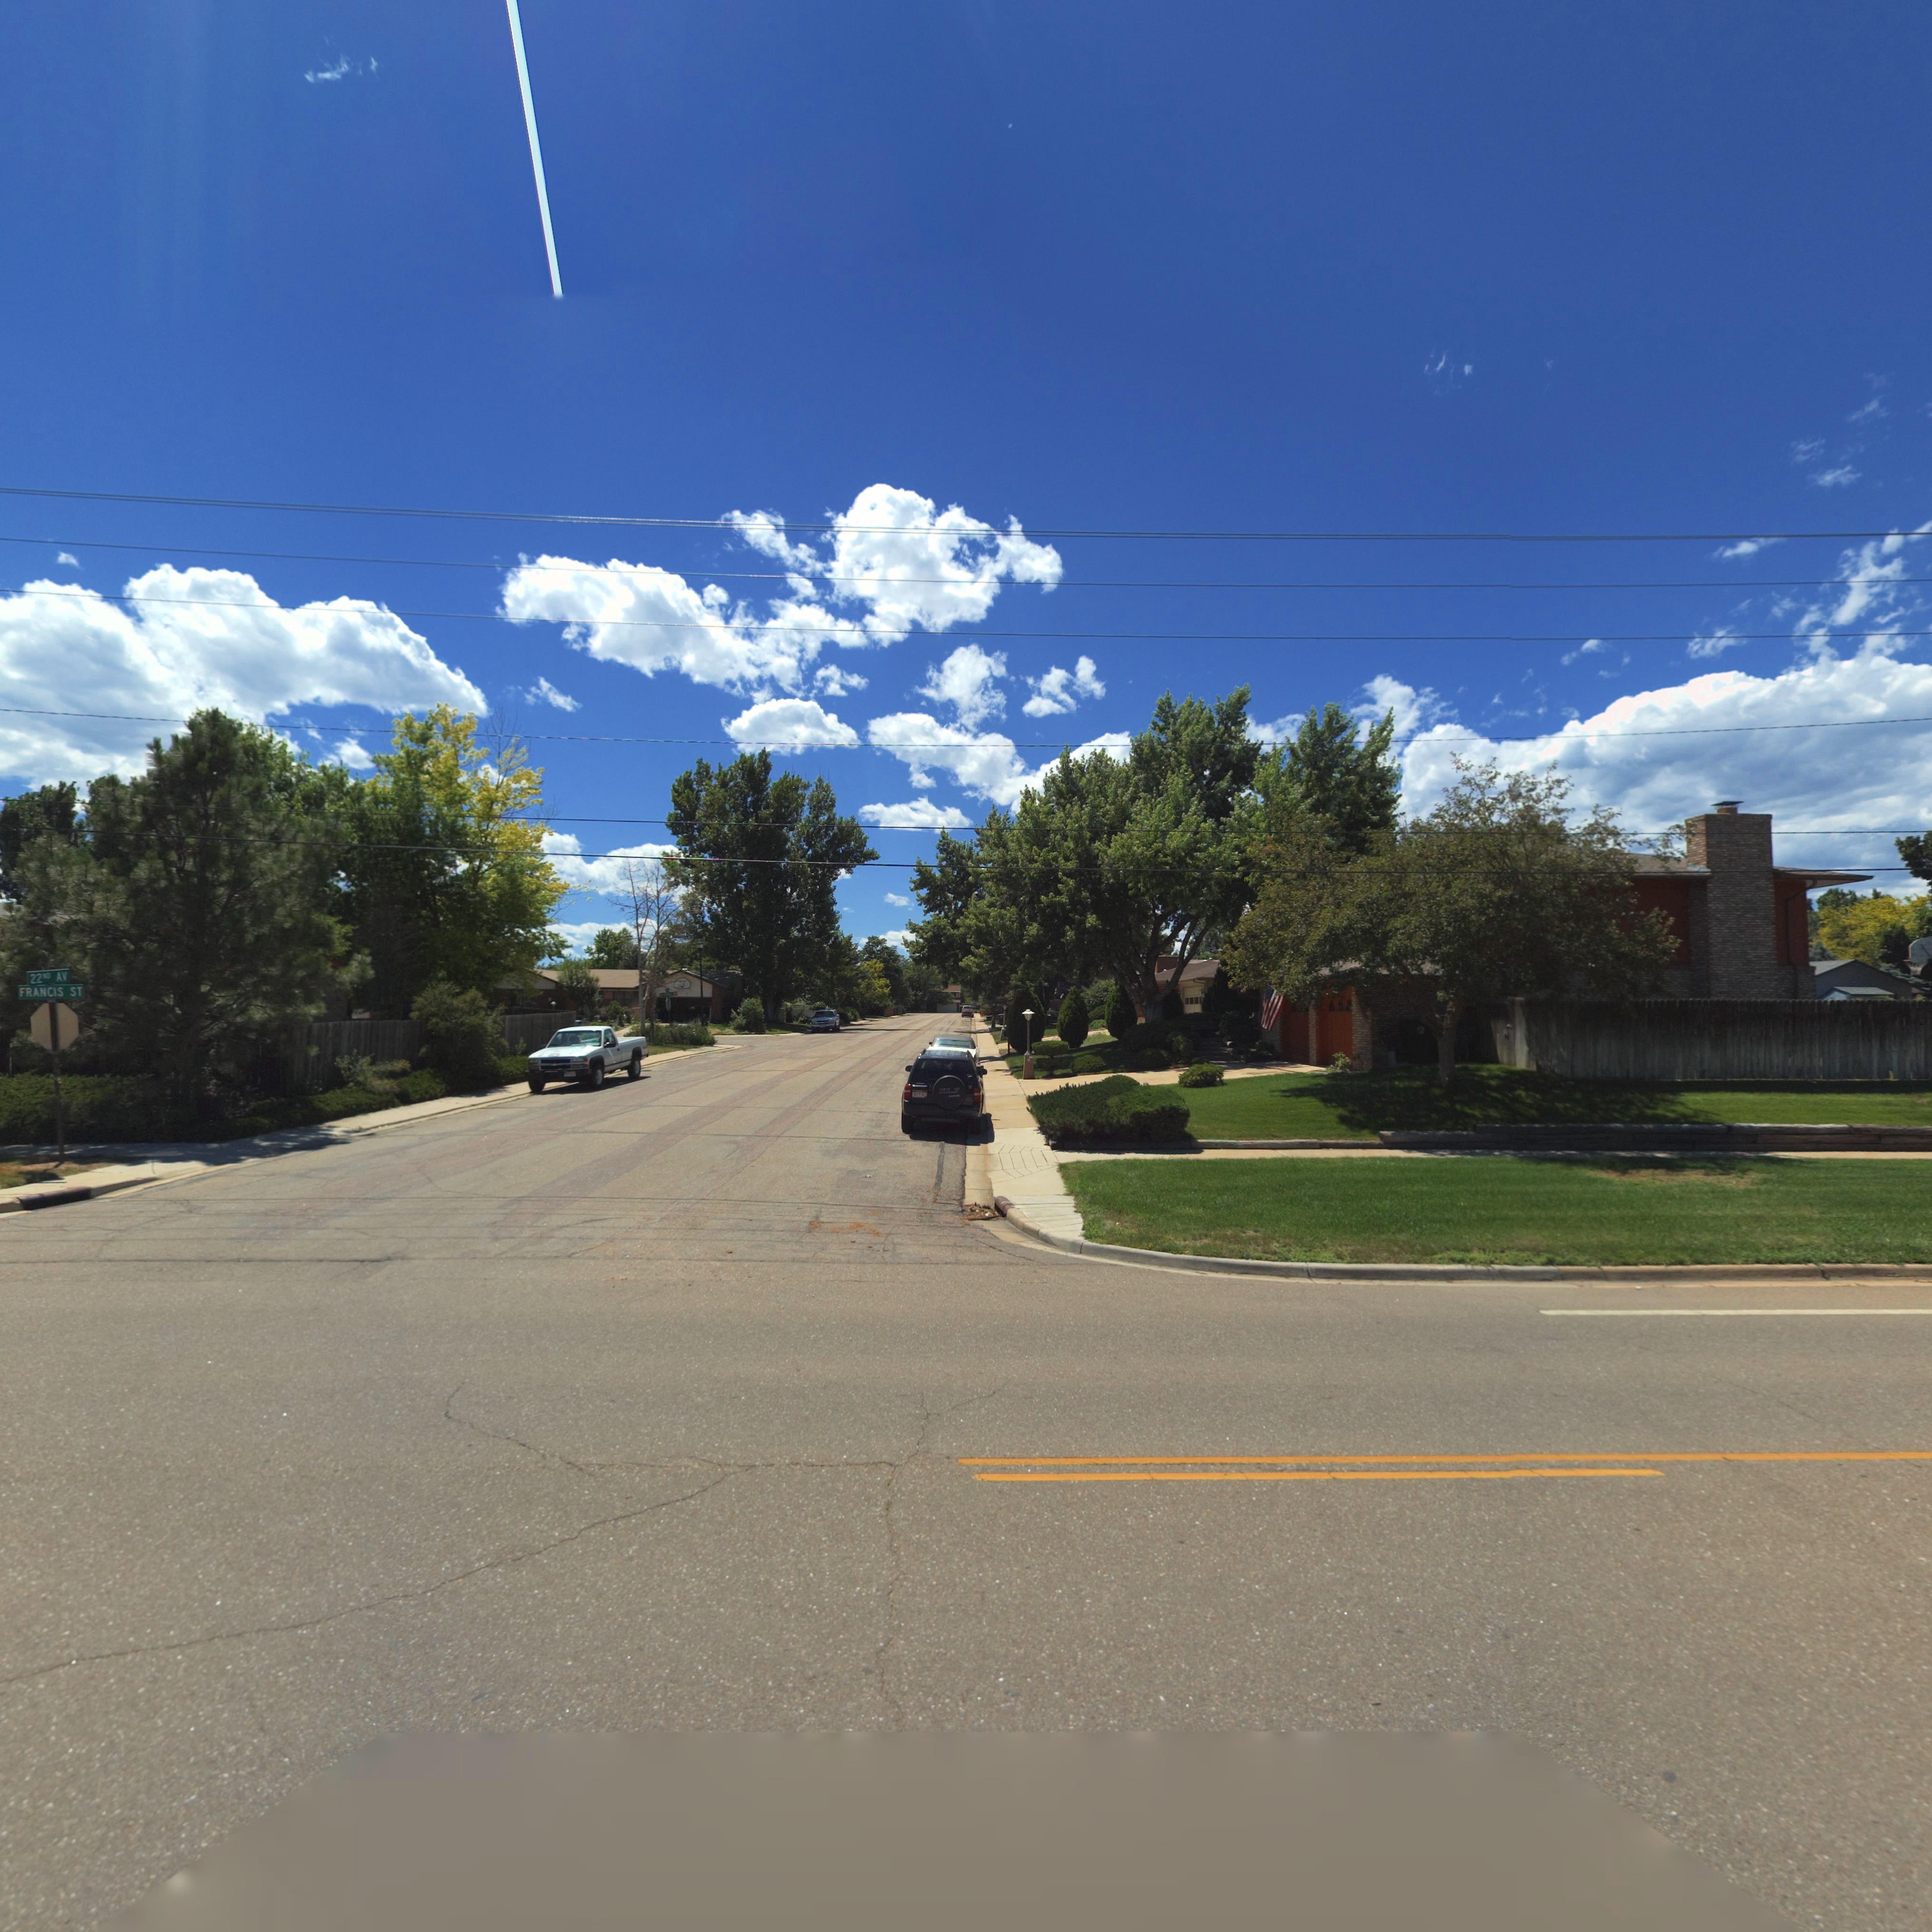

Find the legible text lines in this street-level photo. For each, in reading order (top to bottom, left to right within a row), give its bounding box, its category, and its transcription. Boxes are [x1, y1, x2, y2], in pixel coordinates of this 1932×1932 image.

[29, 970, 68, 984] StreetName: 22** AV
[19, 986, 83, 998] StreetName: FRANCIS ST